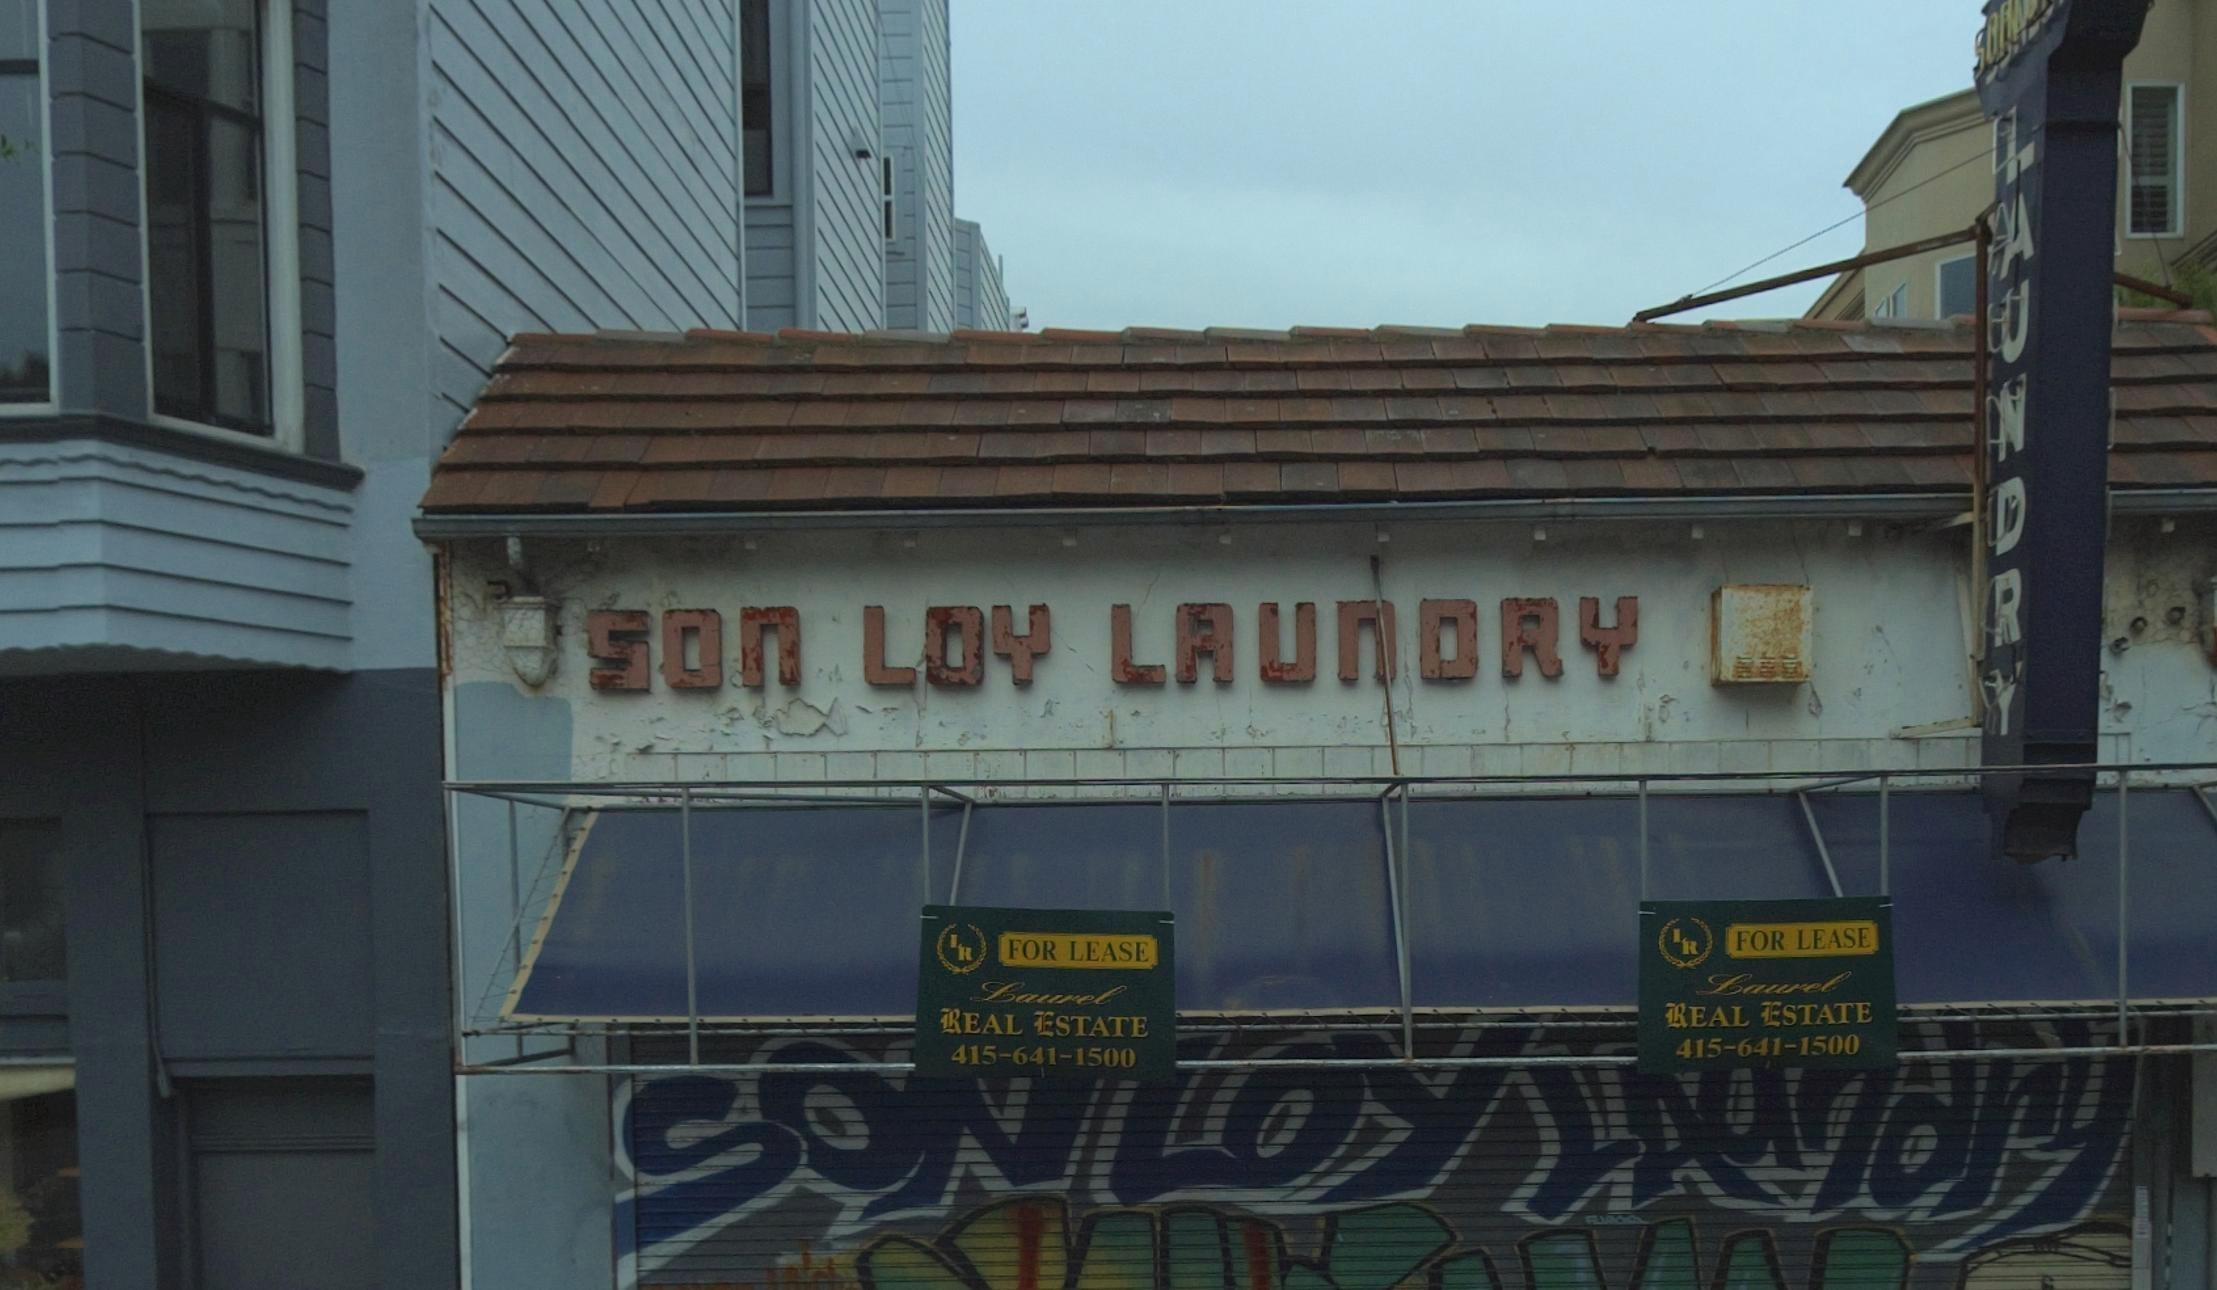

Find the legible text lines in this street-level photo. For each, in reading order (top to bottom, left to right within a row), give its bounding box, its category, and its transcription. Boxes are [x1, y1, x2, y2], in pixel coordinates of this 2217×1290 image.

[1985, 84, 2037, 742] BusinessName: LAUNDRY\
[582, 594, 1642, 695] BusinessName: SON LOY LAUNDRY
[947, 931, 973, 965] None: LR
[1005, 938, 1150, 964] None: FOR LEASE
[1671, 926, 1701, 956] None: LR
[1735, 925, 1872, 952] None: FOR LEASE
[959, 977, 1138, 1006] None: Laurel
[1688, 969, 1859, 997] None: Laurel
[939, 1006, 1148, 1038] None: REAL ESTATE
[1663, 1000, 1876, 1031] None: REAL ESTATE
[950, 1042, 1138, 1070] None: 415-641-1500
[1675, 1033, 1862, 1060] None: 45-641-1500
[609, 1009, 2144, 1267] BusinessName: SON LOY LA**dry